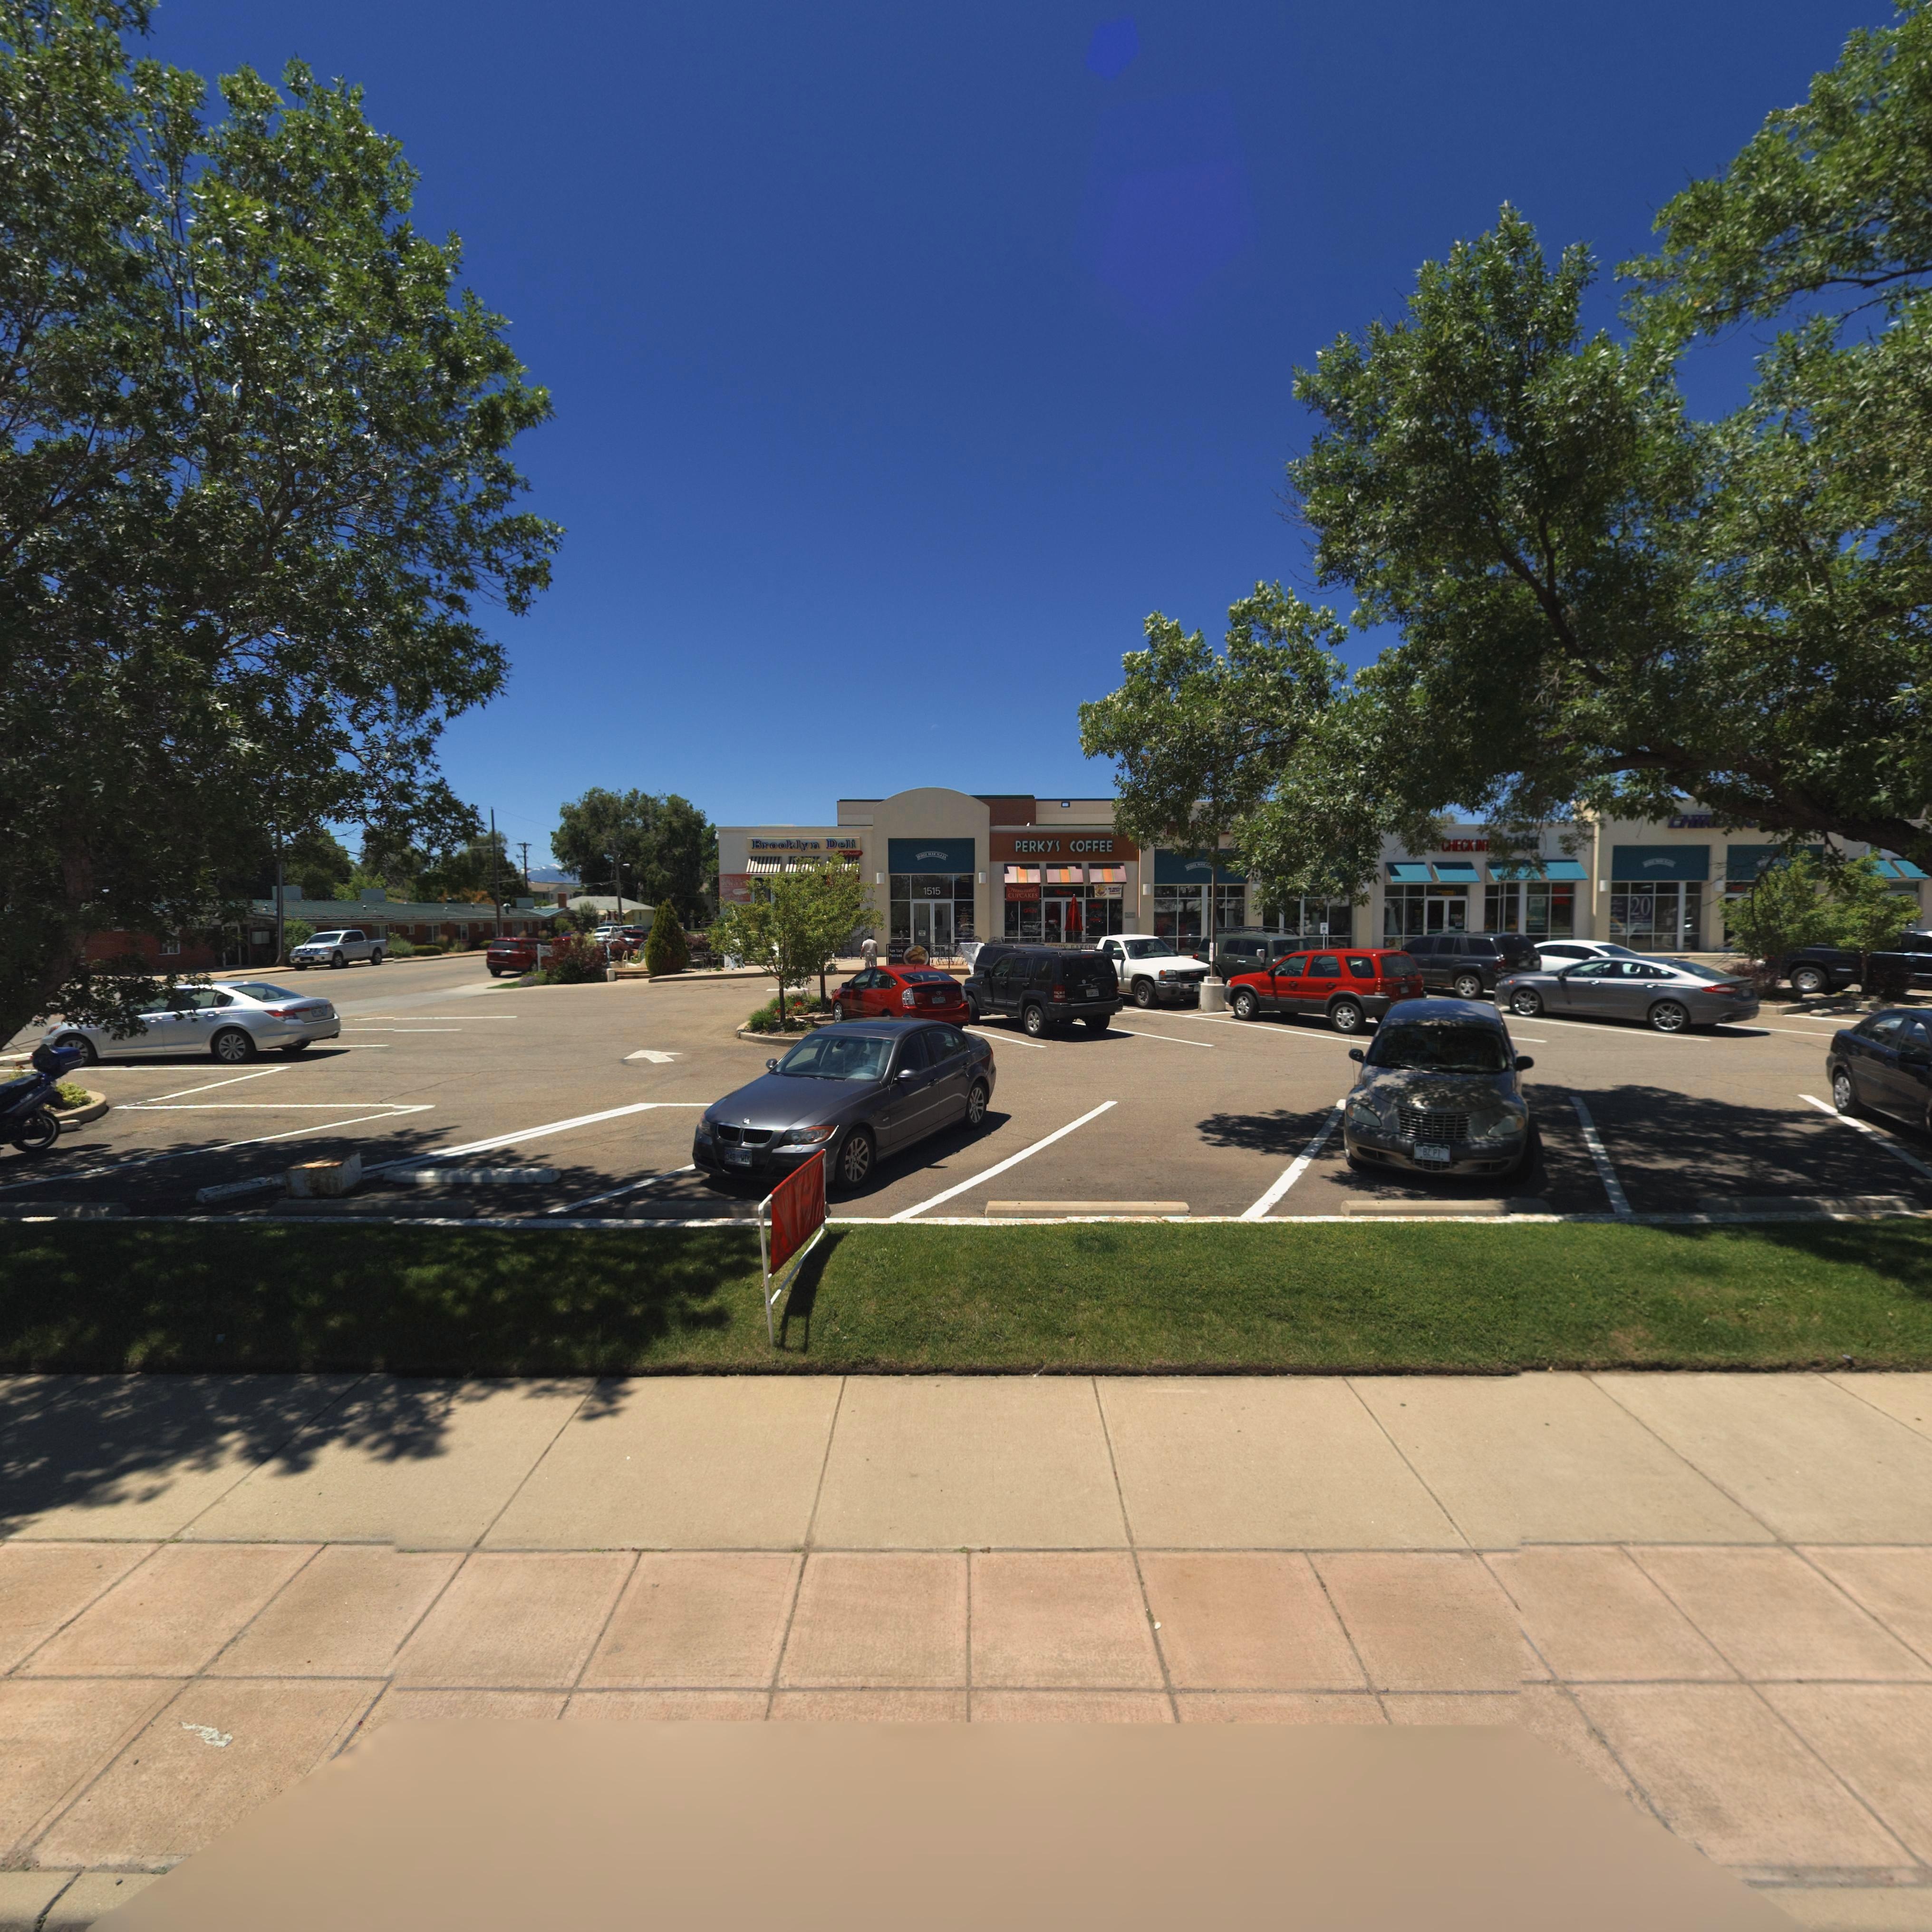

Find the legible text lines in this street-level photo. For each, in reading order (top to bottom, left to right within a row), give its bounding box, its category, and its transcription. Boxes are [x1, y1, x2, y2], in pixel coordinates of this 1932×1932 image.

[1665, 812, 1760, 830] BusinessName: CHIR* ***
[752, 838, 857, 852] BusinessName: Brooklyn Deli
[1015, 839, 1113, 852] BusinessName: PERKY'S COFFEE
[1440, 836, 1540, 852] BusinessName: CHECK INT* *ASH
[923, 887, 941, 895] StreetNumber: 1515